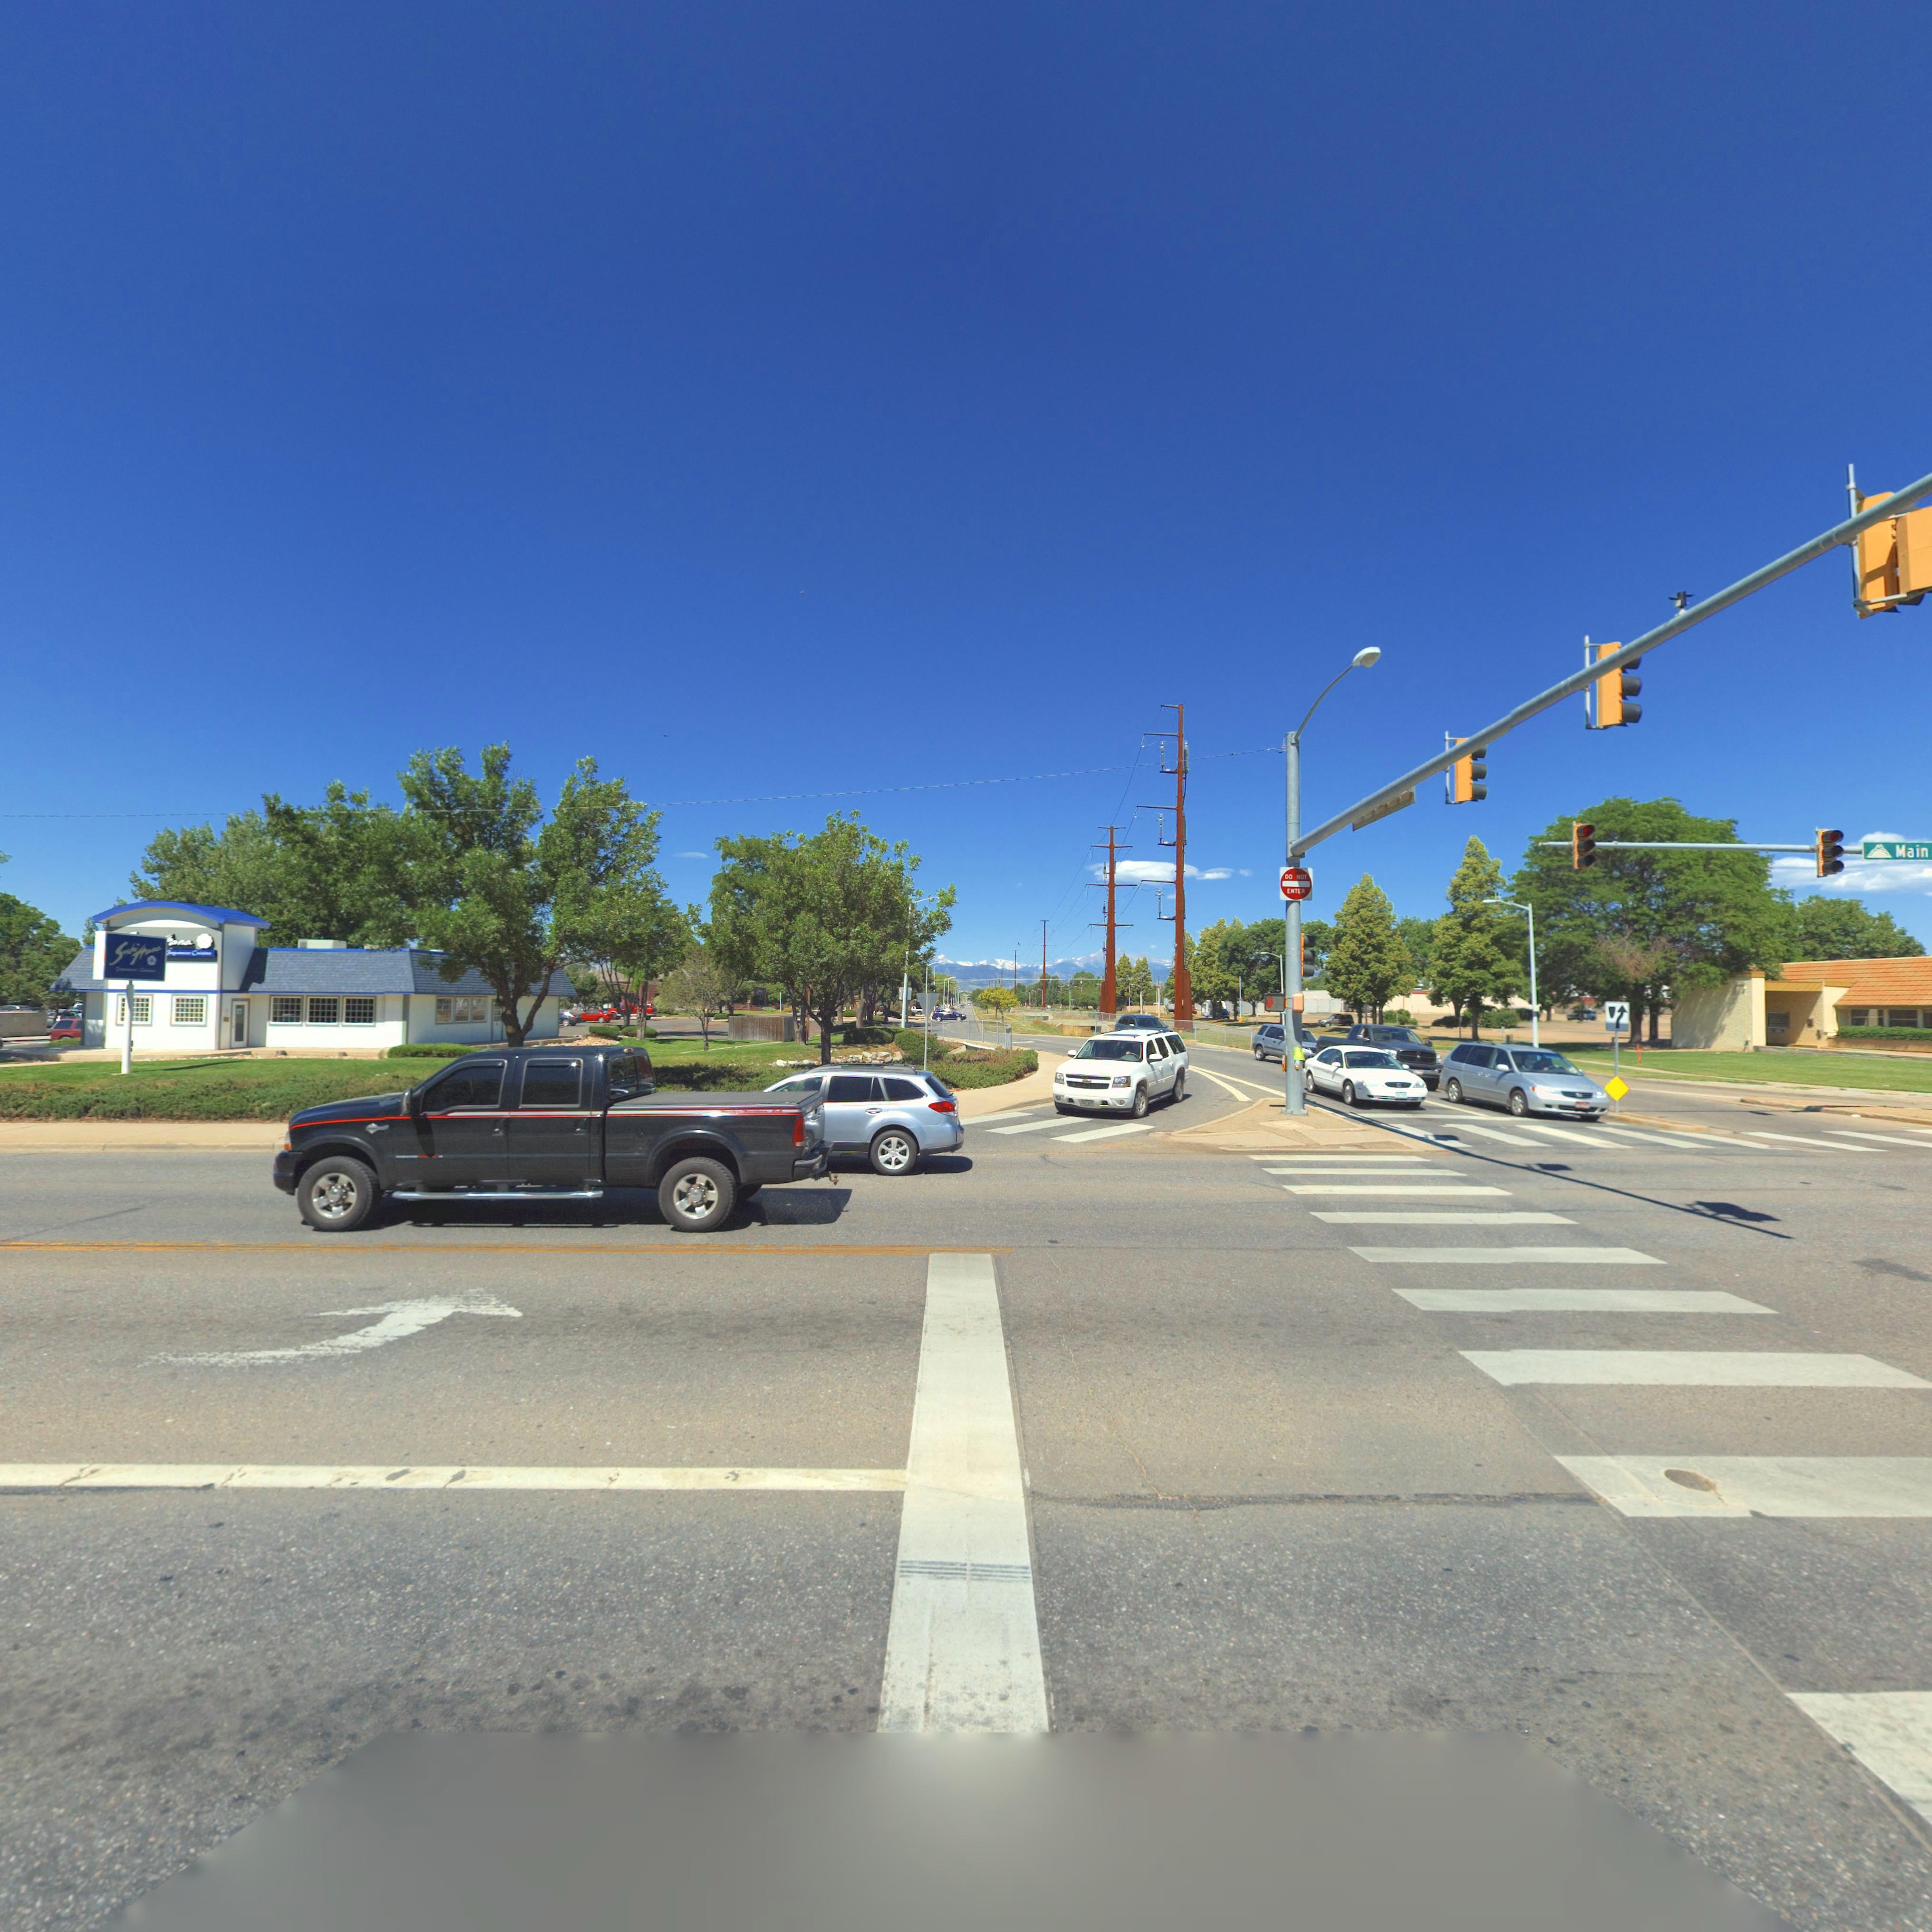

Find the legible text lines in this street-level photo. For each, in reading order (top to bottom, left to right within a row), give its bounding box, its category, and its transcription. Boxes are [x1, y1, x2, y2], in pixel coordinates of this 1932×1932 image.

[1895, 844, 1929, 858] StreetName: Main
[168, 939, 193, 947] BusinessName: ana
[107, 940, 164, 966] BusinessName: S****i Hana